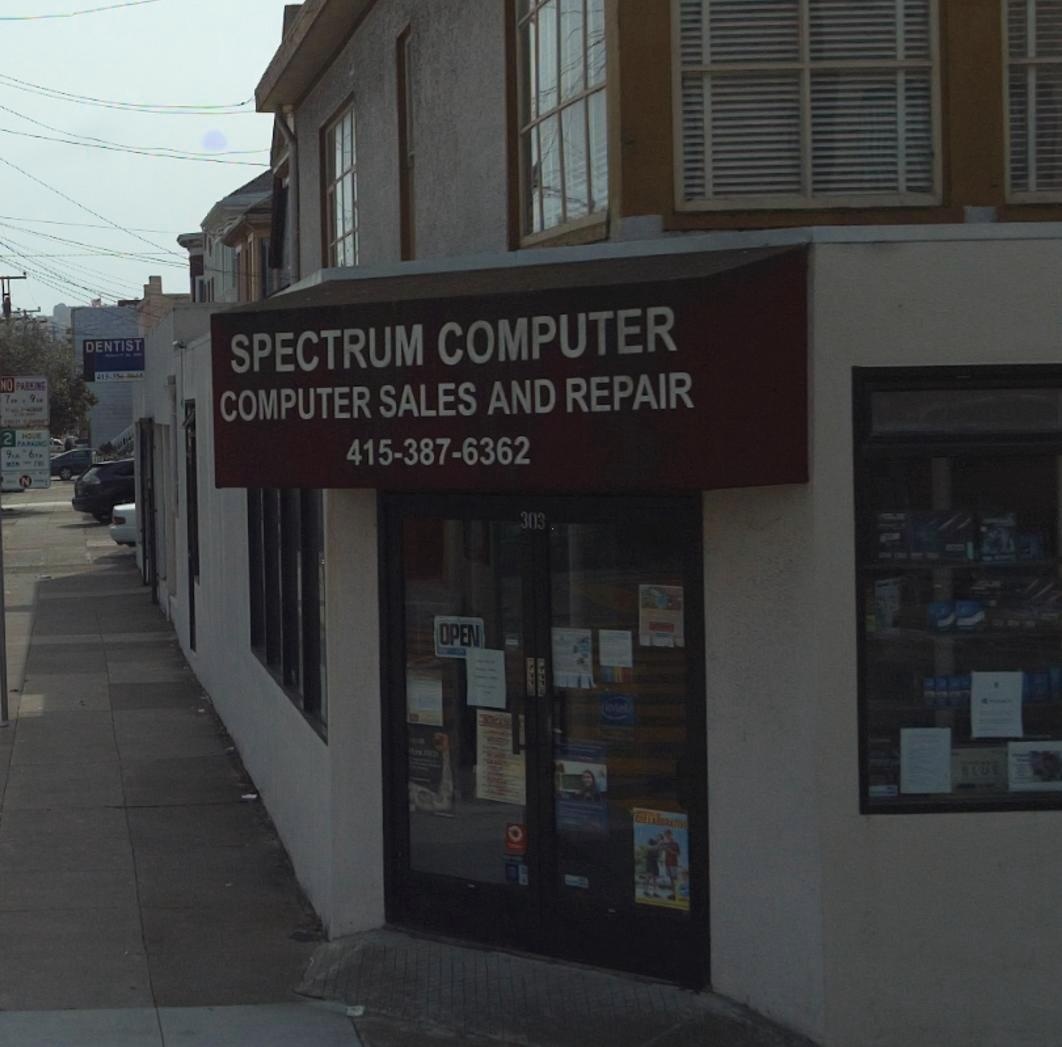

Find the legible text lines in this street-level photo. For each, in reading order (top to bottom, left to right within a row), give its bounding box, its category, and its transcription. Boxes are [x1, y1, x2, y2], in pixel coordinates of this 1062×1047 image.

[85, 339, 143, 353] None: DENTIST
[229, 304, 679, 376] BusinessName: SPECTRUM COMPUTER
[0, 379, 46, 392] None: NO PAR*ING
[3, 393, 11, 405] None: 7
[28, 393, 37, 404] None: 9
[219, 370, 696, 424] BusinessName: COMPUTER SALES AND REPAIR
[2, 431, 13, 446] None: 2
[16, 439, 48, 448] None: PARKING
[4, 448, 13, 460] None: 9
[28, 448, 35, 459] None: 6
[343, 435, 531, 467] None: 415-387-6362
[20, 477, 31, 487] None: N
[519, 509, 546, 532] StreetNumber: 303
[438, 622, 481, 649] None: OPEN
[527, 660, 534, 688] None: PULL
[538, 668, 545, 688] None: ULL
[960, 764, 1000, 776] None: BLUE